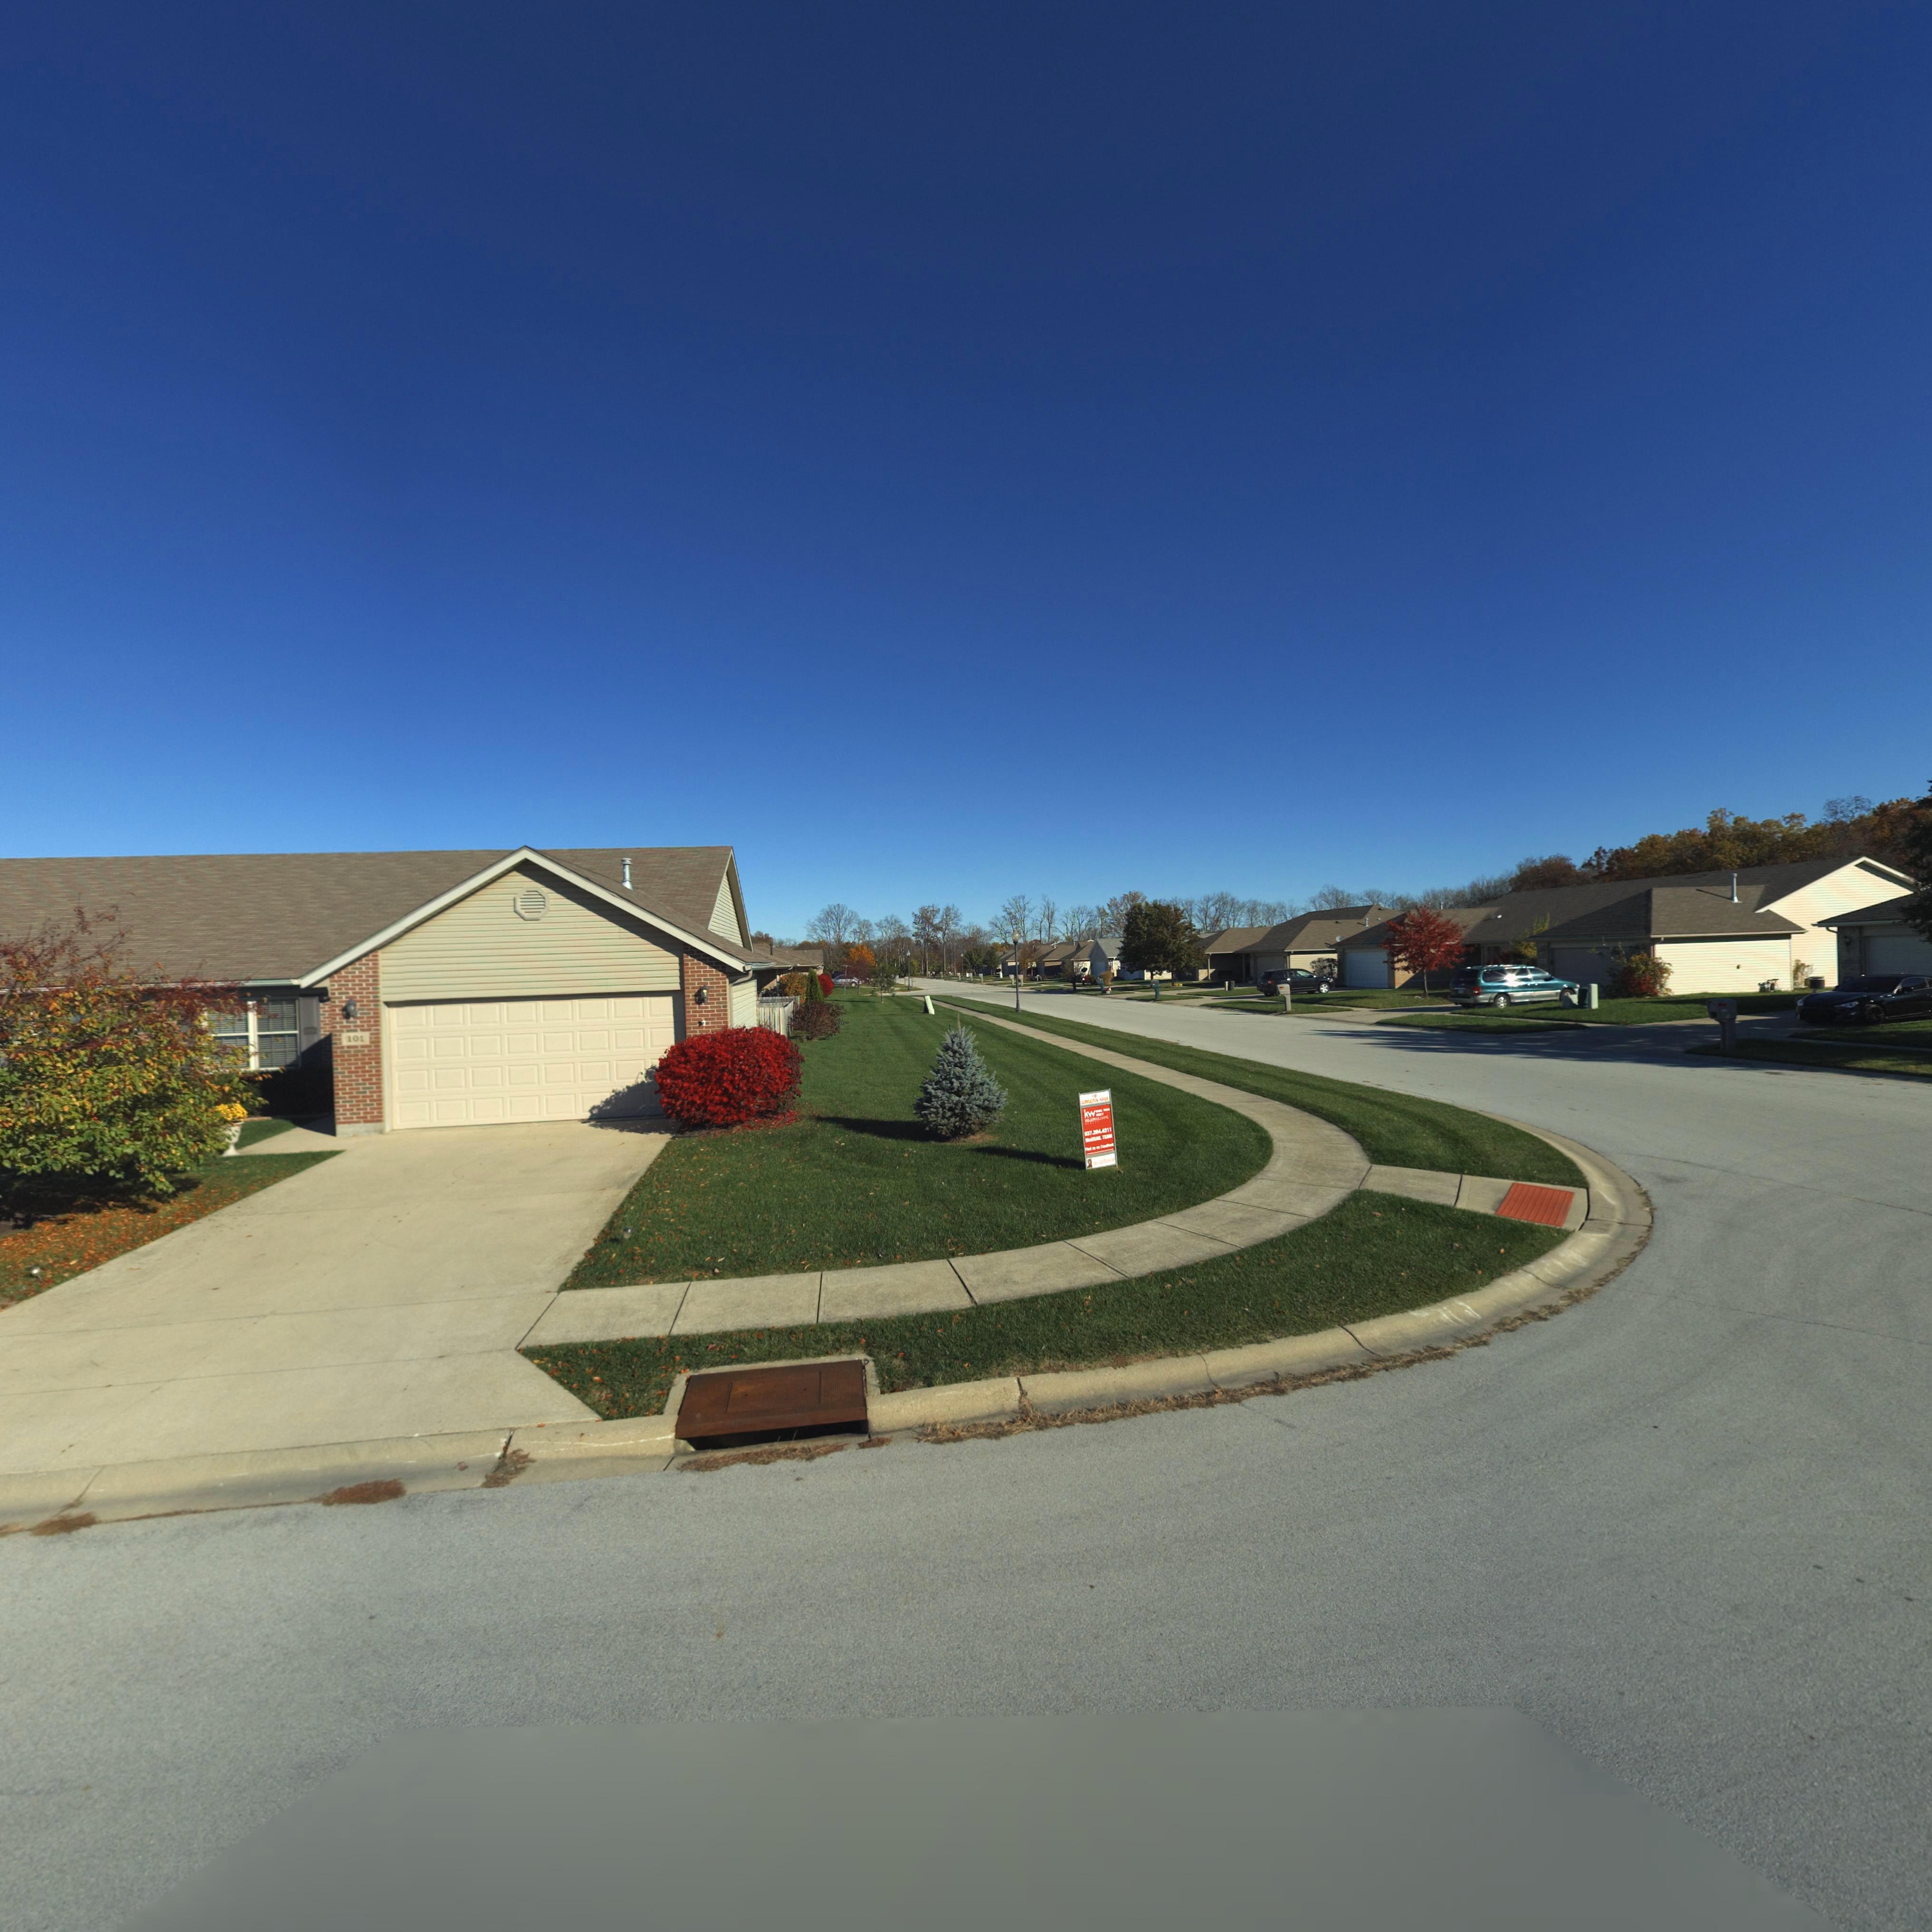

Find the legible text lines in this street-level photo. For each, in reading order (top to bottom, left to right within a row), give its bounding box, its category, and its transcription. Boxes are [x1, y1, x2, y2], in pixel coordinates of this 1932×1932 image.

[347, 1034, 365, 1043] StreetNumber: 101